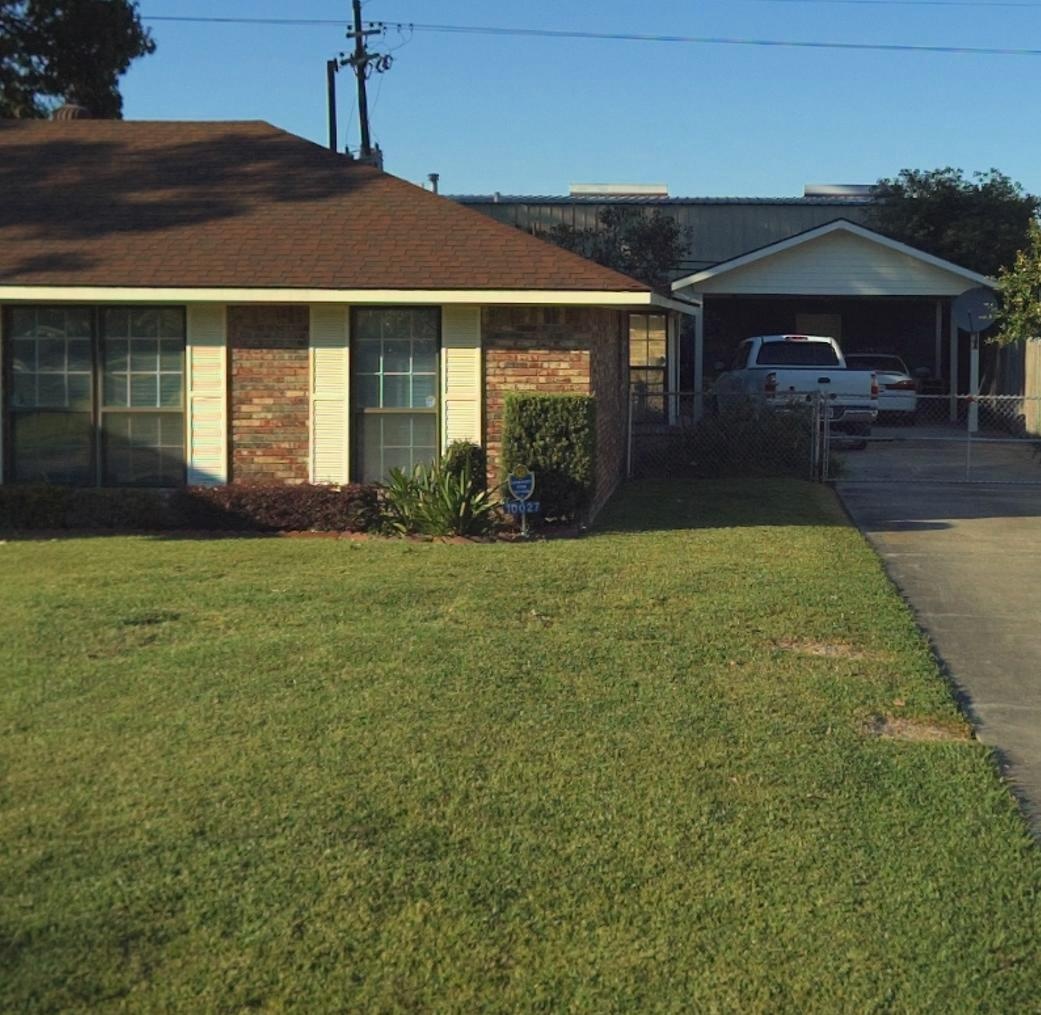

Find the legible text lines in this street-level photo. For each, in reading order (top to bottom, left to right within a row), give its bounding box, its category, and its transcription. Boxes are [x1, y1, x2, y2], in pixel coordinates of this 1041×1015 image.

[506, 501, 542, 515] StreetNumber: 10027